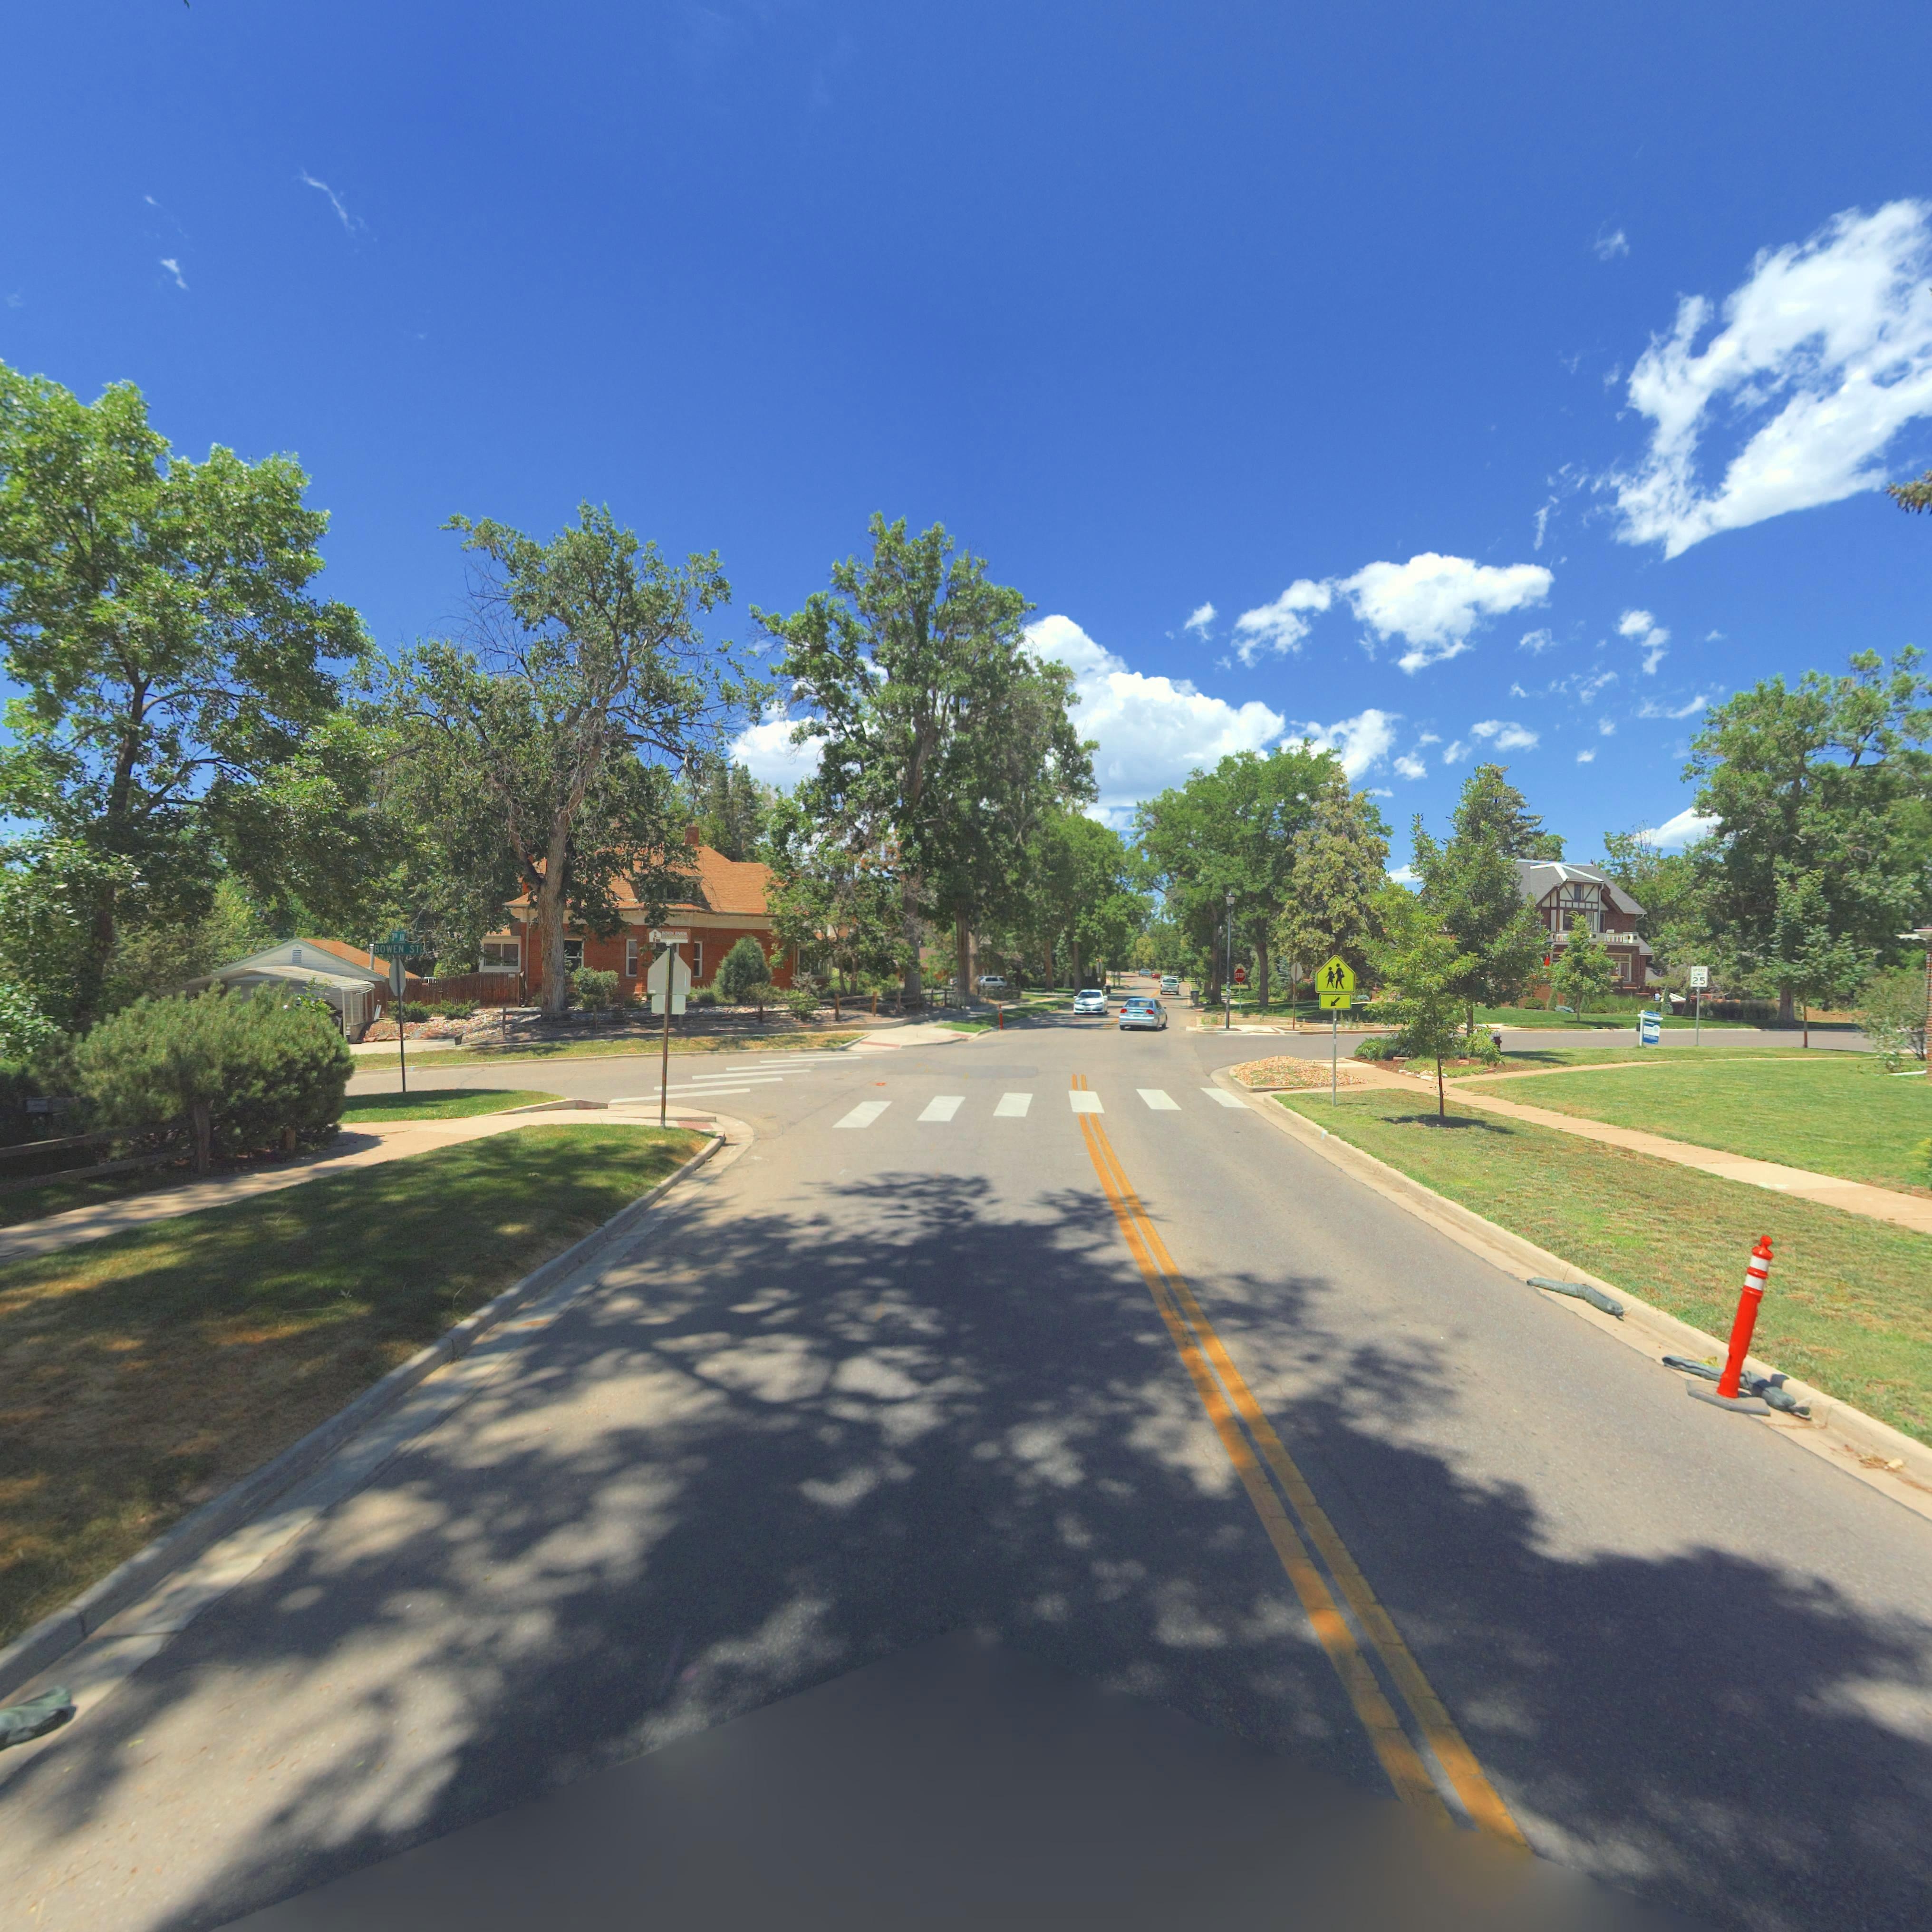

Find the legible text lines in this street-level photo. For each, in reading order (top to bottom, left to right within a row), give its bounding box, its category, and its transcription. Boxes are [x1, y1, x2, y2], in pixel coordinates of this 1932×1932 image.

[391, 932, 405, 941] StreetName: 3RD AV
[374, 944, 420, 953] StreetName: BOWEN ST